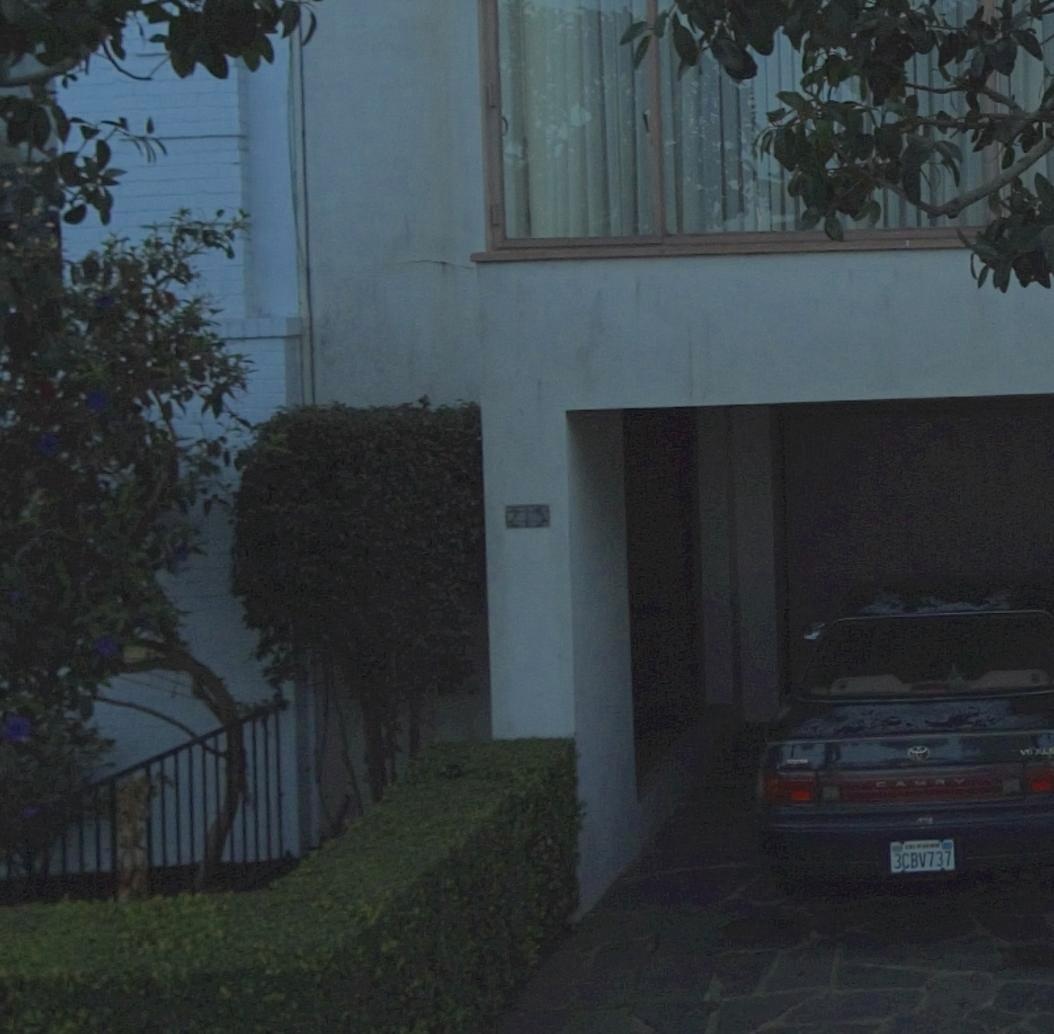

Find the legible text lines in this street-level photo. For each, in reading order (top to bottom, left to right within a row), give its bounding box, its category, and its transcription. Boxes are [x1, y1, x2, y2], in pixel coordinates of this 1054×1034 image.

[504, 504, 550, 529] StreetNumber: 215
[873, 776, 969, 790] None: CAMRY
[891, 848, 953, 872] None: 3CBV737